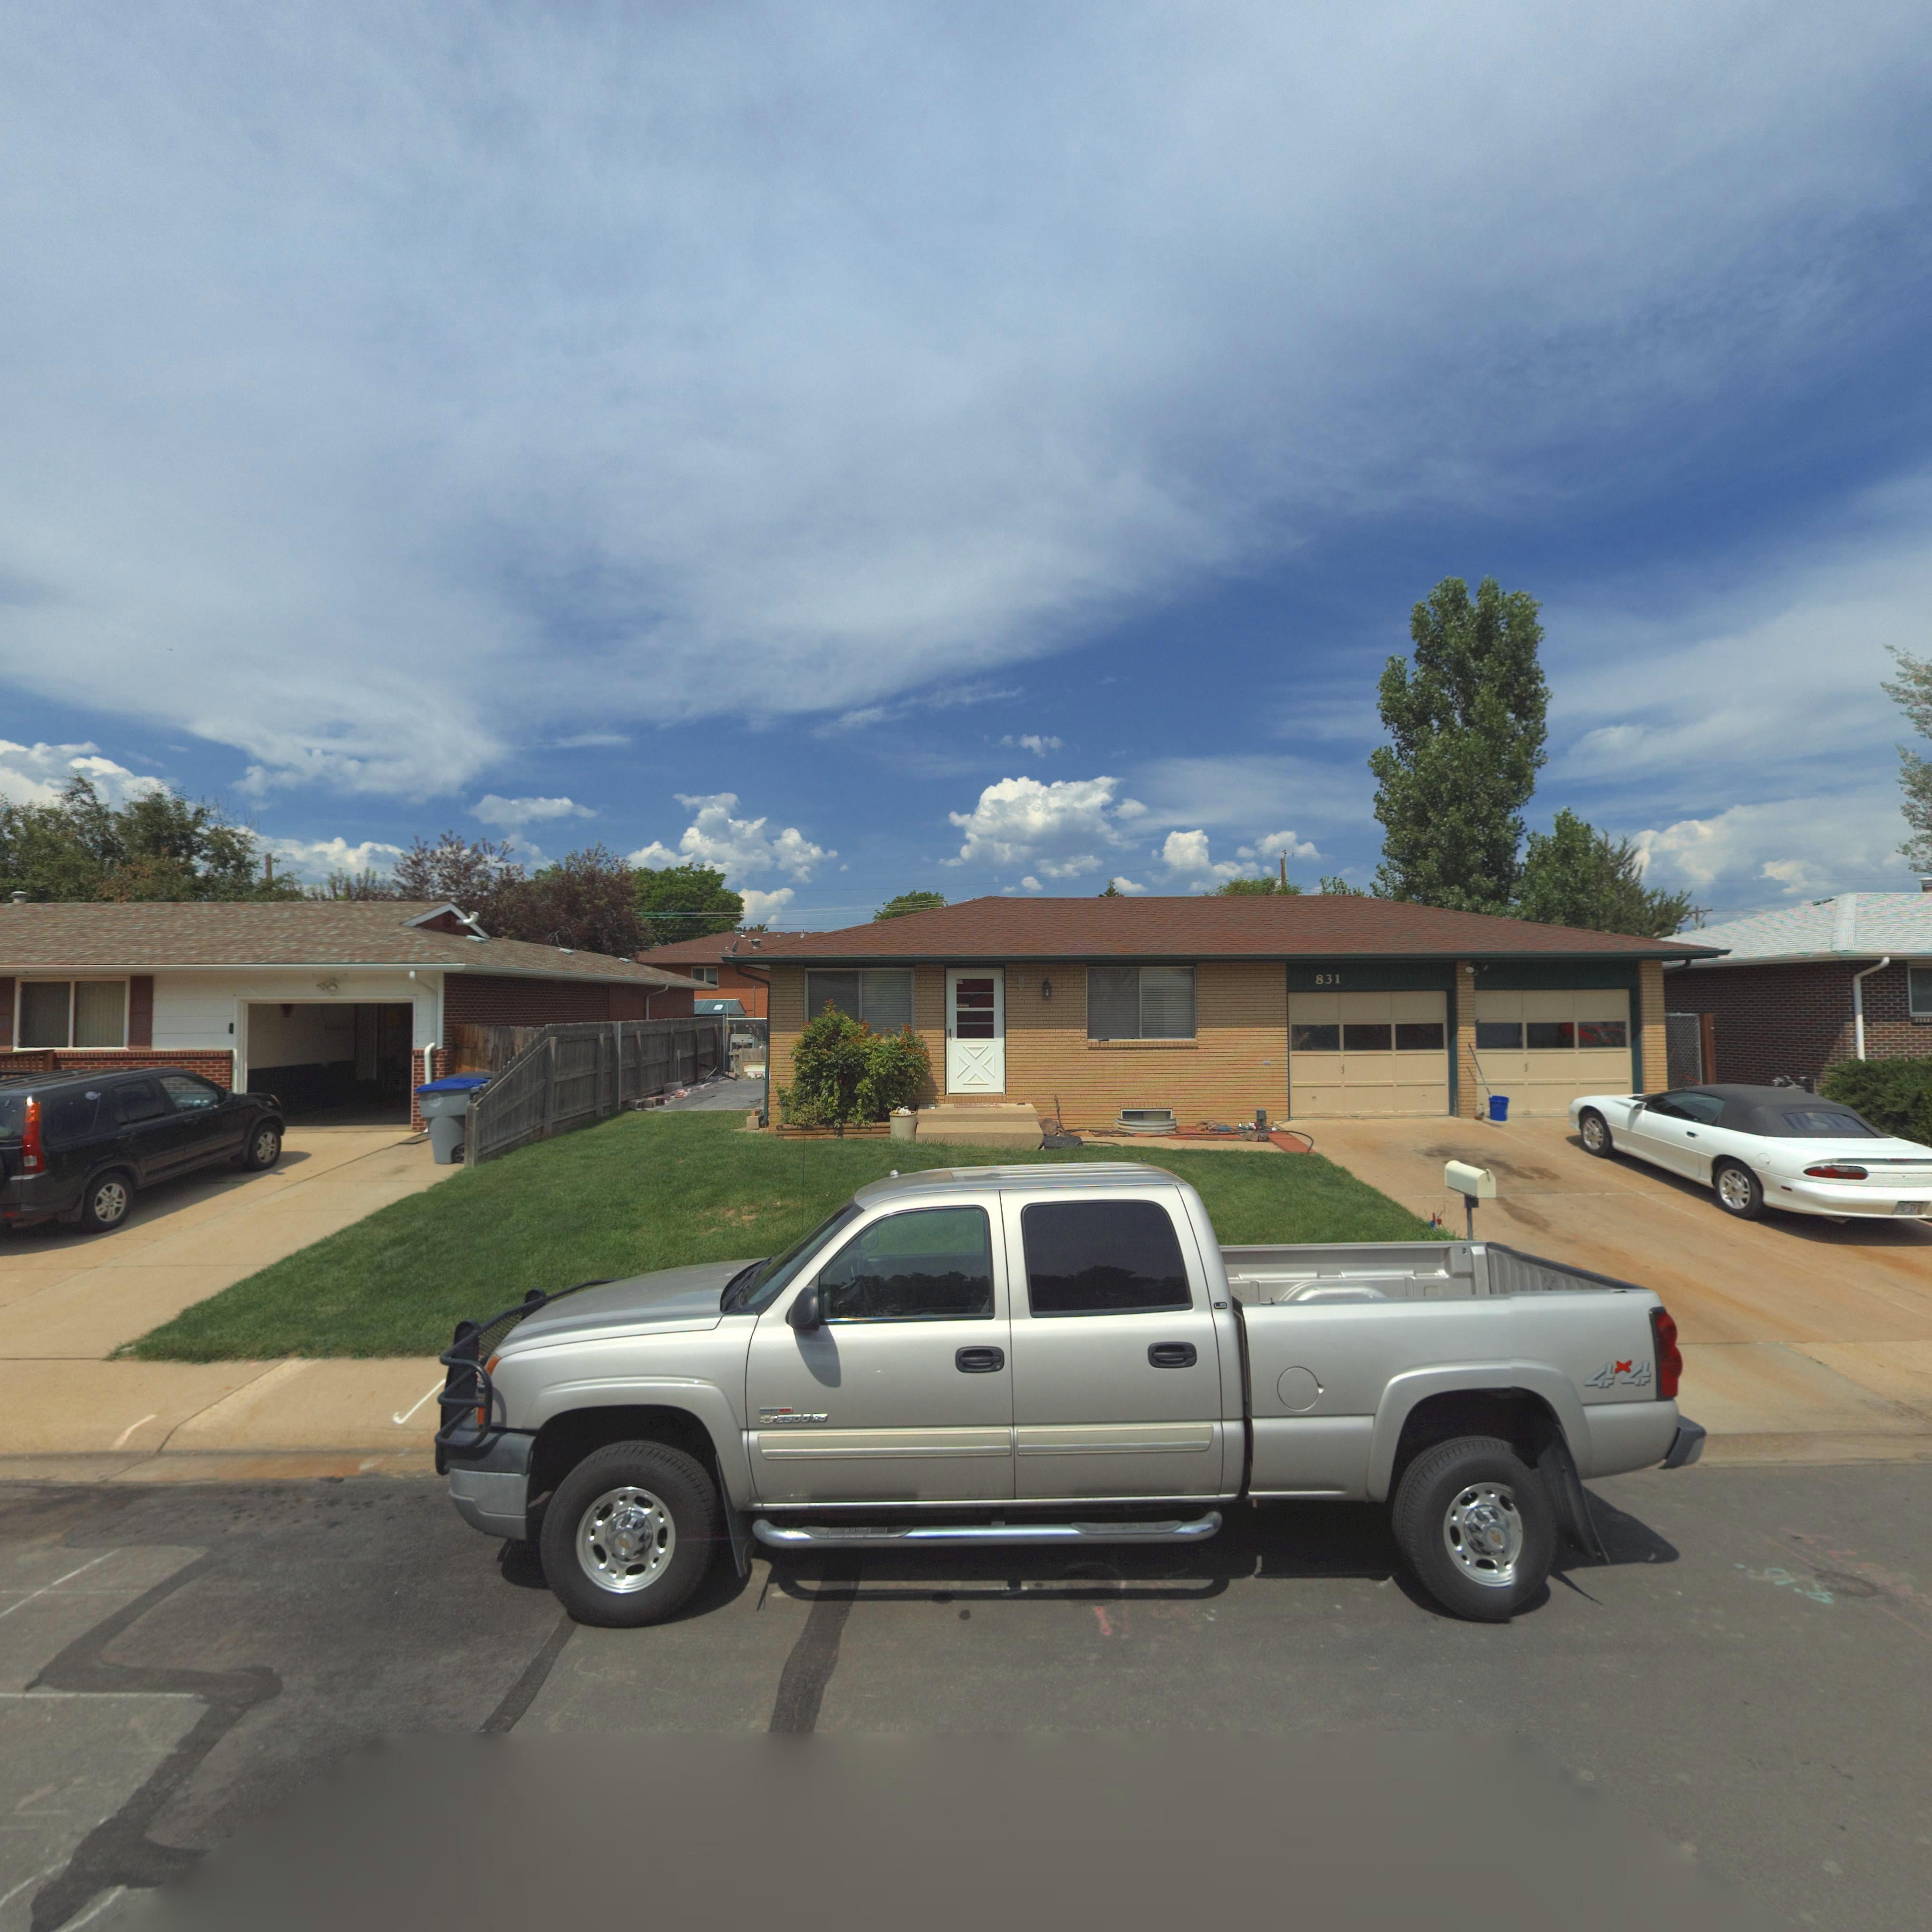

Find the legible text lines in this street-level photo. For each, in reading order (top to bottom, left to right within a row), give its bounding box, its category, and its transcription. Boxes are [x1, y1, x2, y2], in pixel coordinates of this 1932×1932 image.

[1314, 973, 1341, 985] StreetNumber: 831